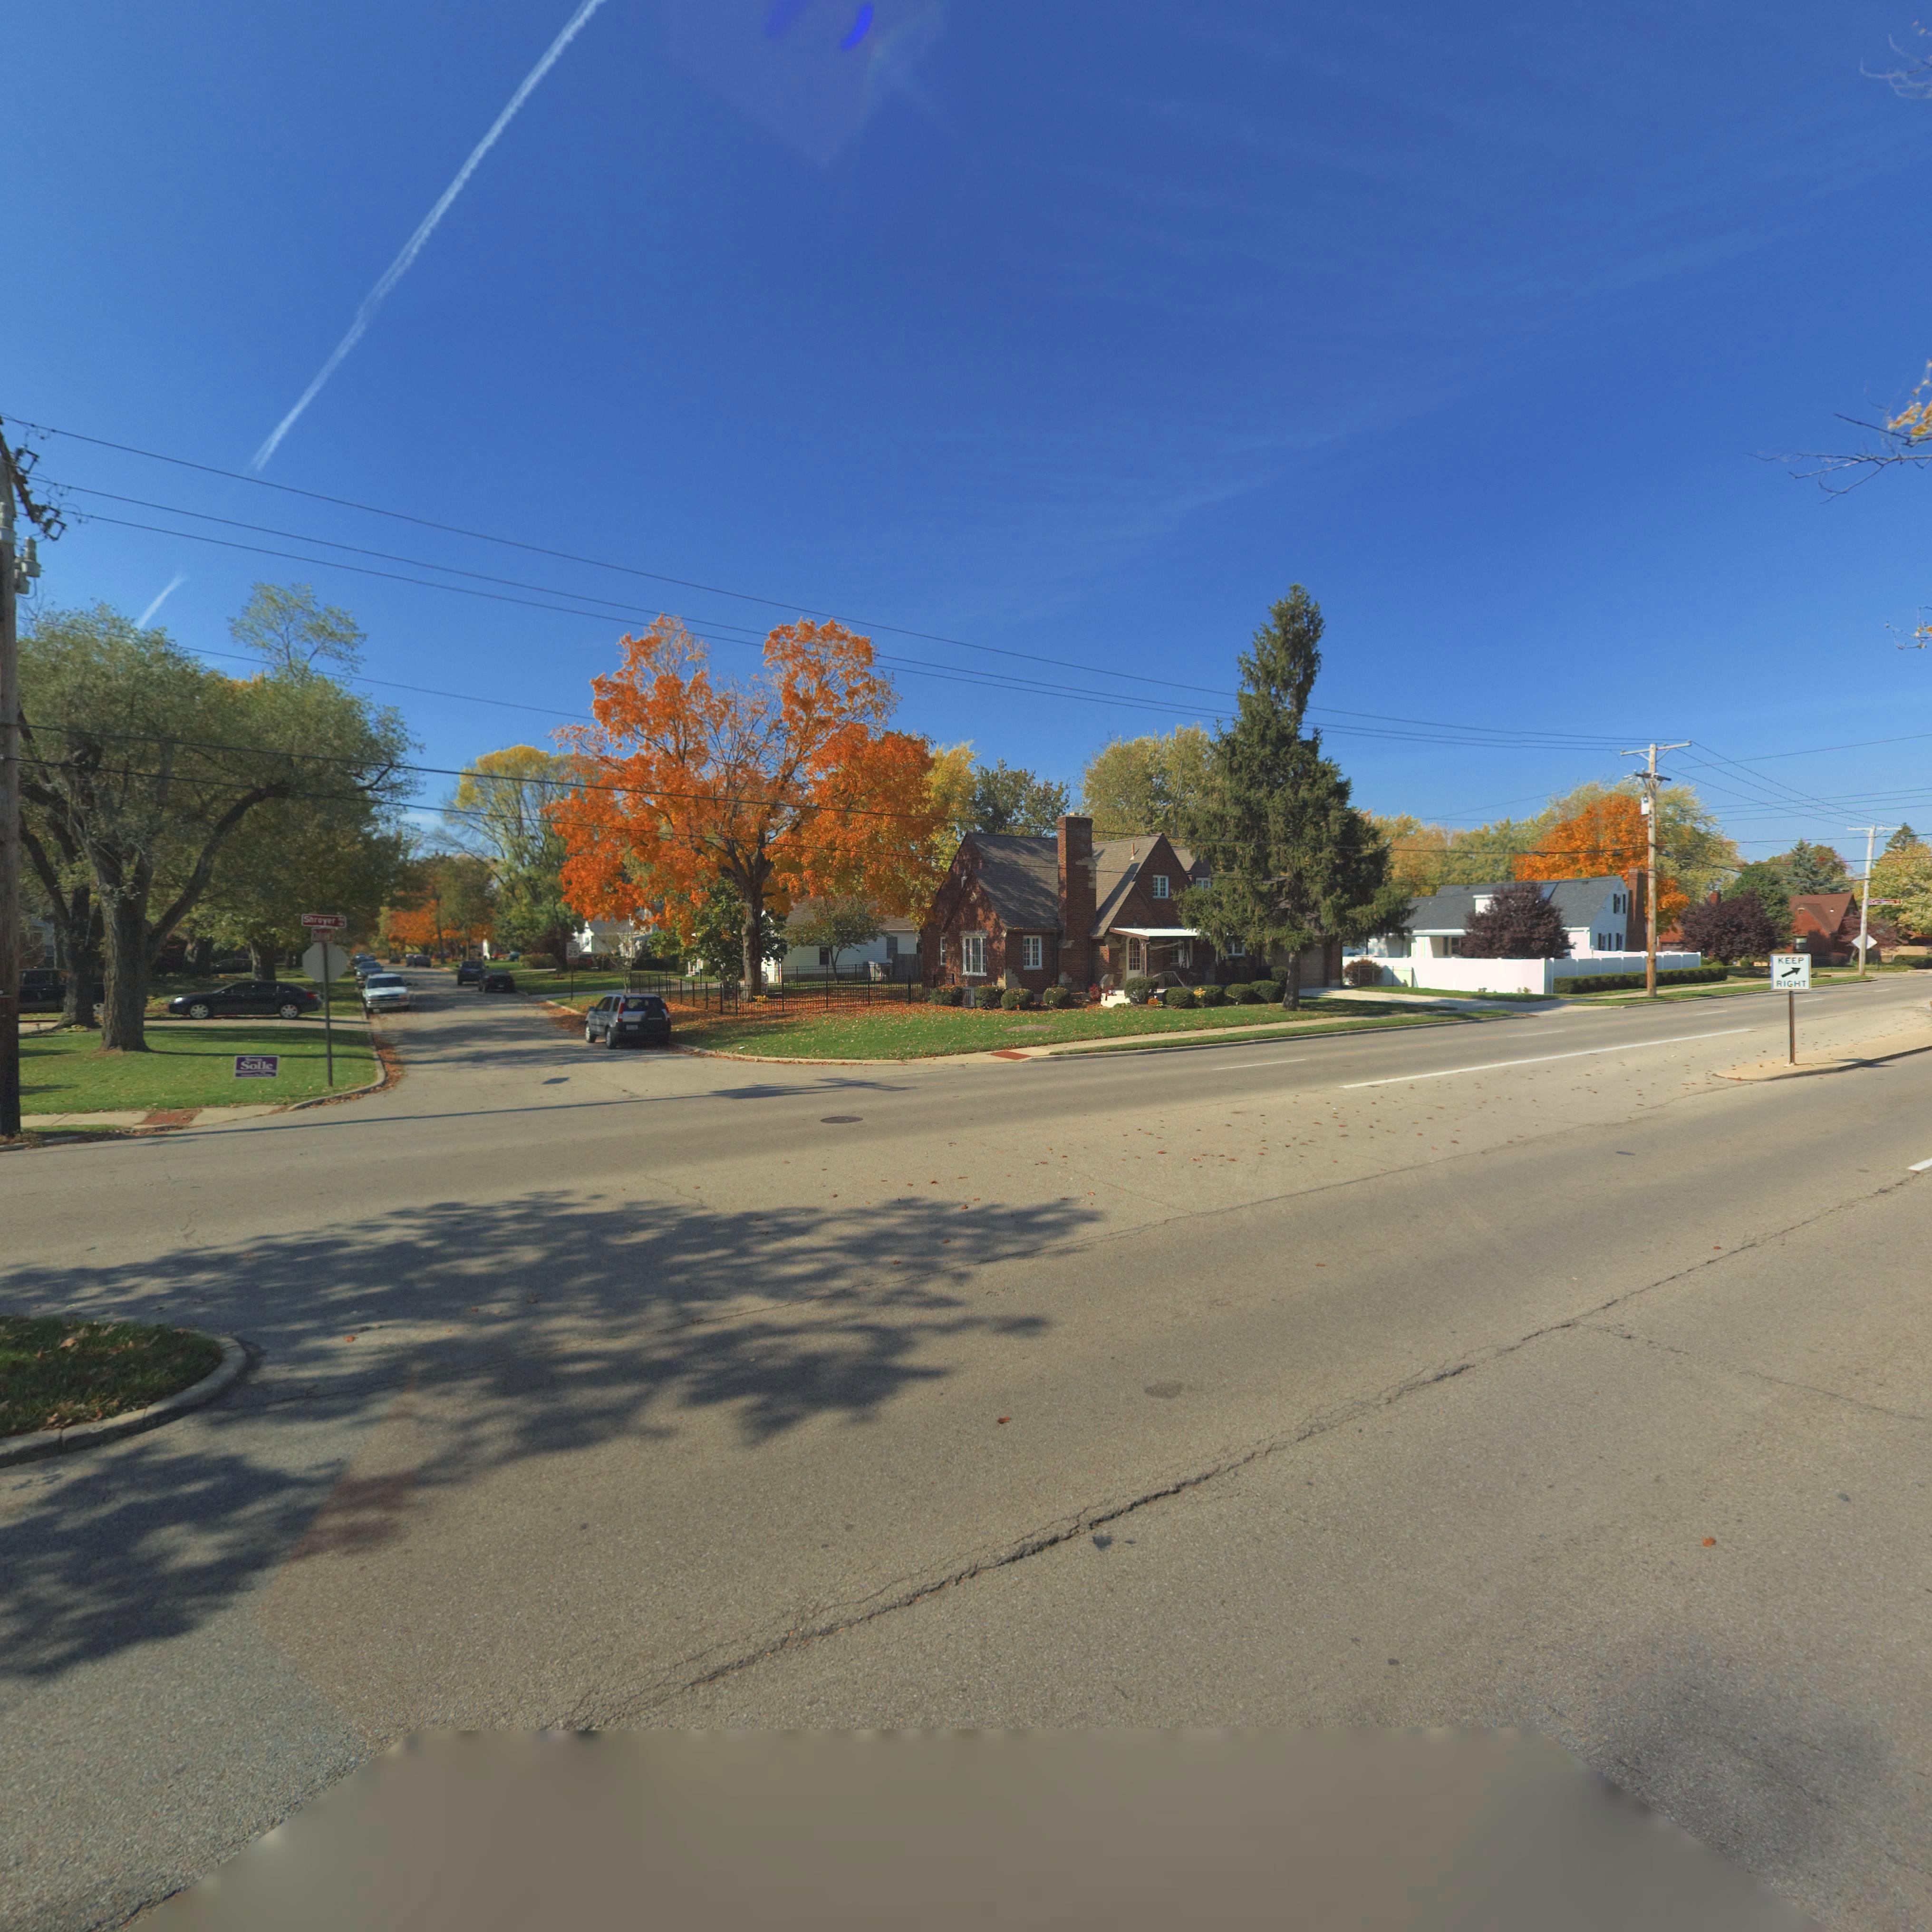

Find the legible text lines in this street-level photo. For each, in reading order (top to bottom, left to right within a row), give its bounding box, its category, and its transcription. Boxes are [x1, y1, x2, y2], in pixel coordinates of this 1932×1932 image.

[303, 915, 337, 926] None: Shroyer
[568, 950, 579, 956] None: 25
[1778, 957, 1805, 964] None: KEEP
[1776, 980, 1806, 987] None: RIGHT
[240, 1061, 273, 1070] None: Solle